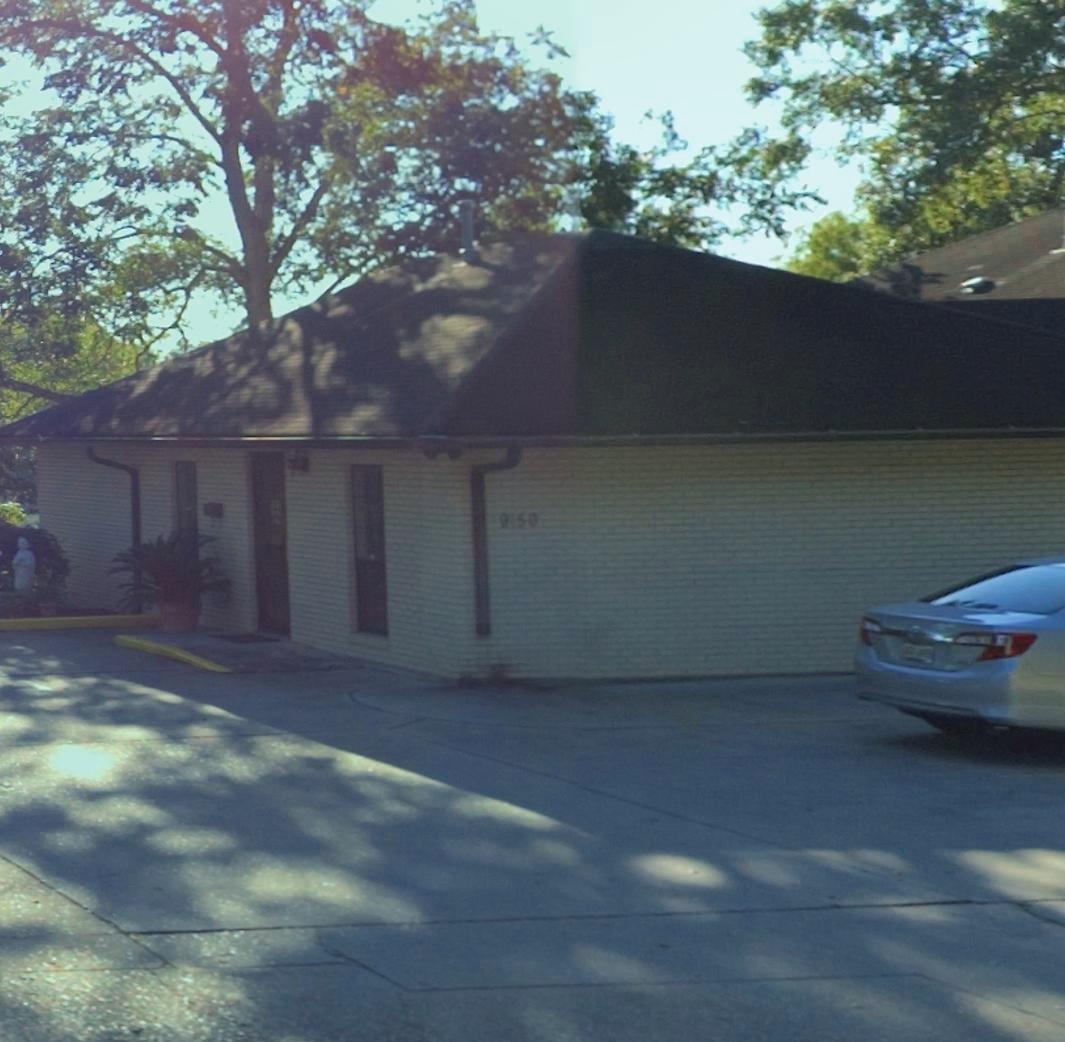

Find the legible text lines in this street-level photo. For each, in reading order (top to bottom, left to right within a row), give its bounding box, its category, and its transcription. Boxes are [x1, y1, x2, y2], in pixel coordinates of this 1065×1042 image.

[498, 511, 539, 530] StreetNumber: 9150